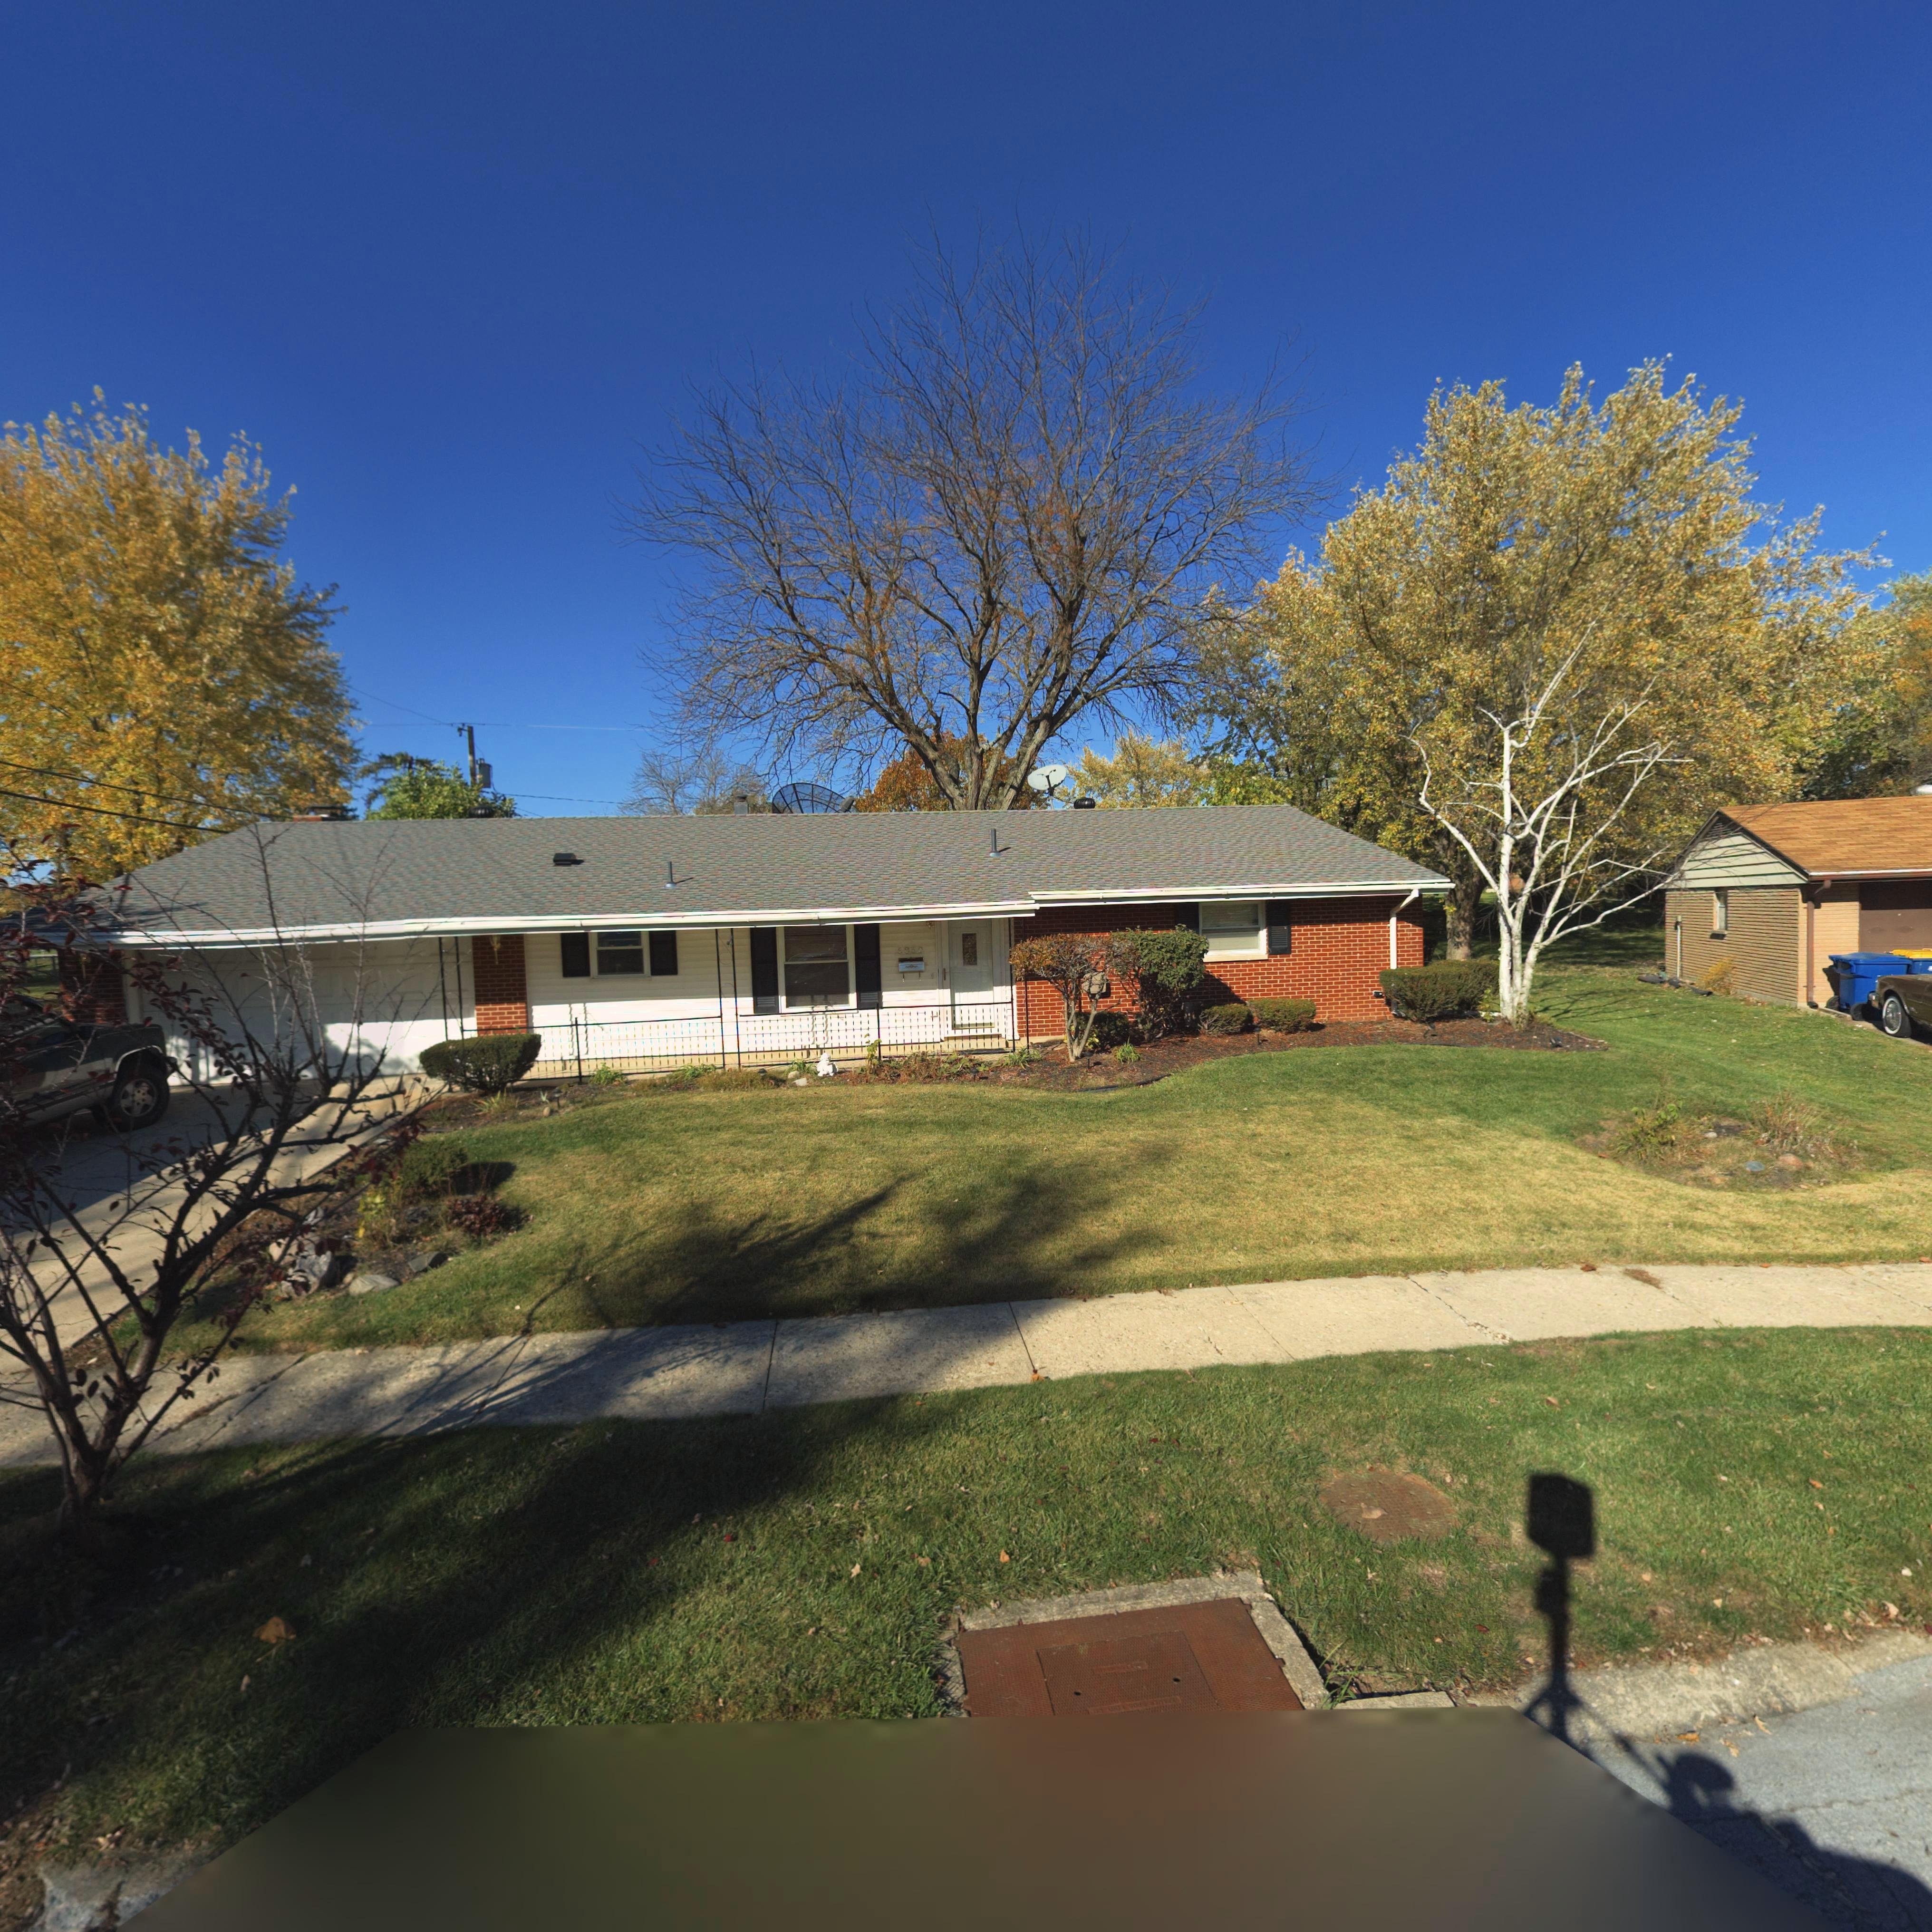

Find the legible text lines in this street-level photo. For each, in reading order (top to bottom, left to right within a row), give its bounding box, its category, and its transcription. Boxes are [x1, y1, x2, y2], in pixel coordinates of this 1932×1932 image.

[896, 946, 924, 955] StreetNumber: 6850